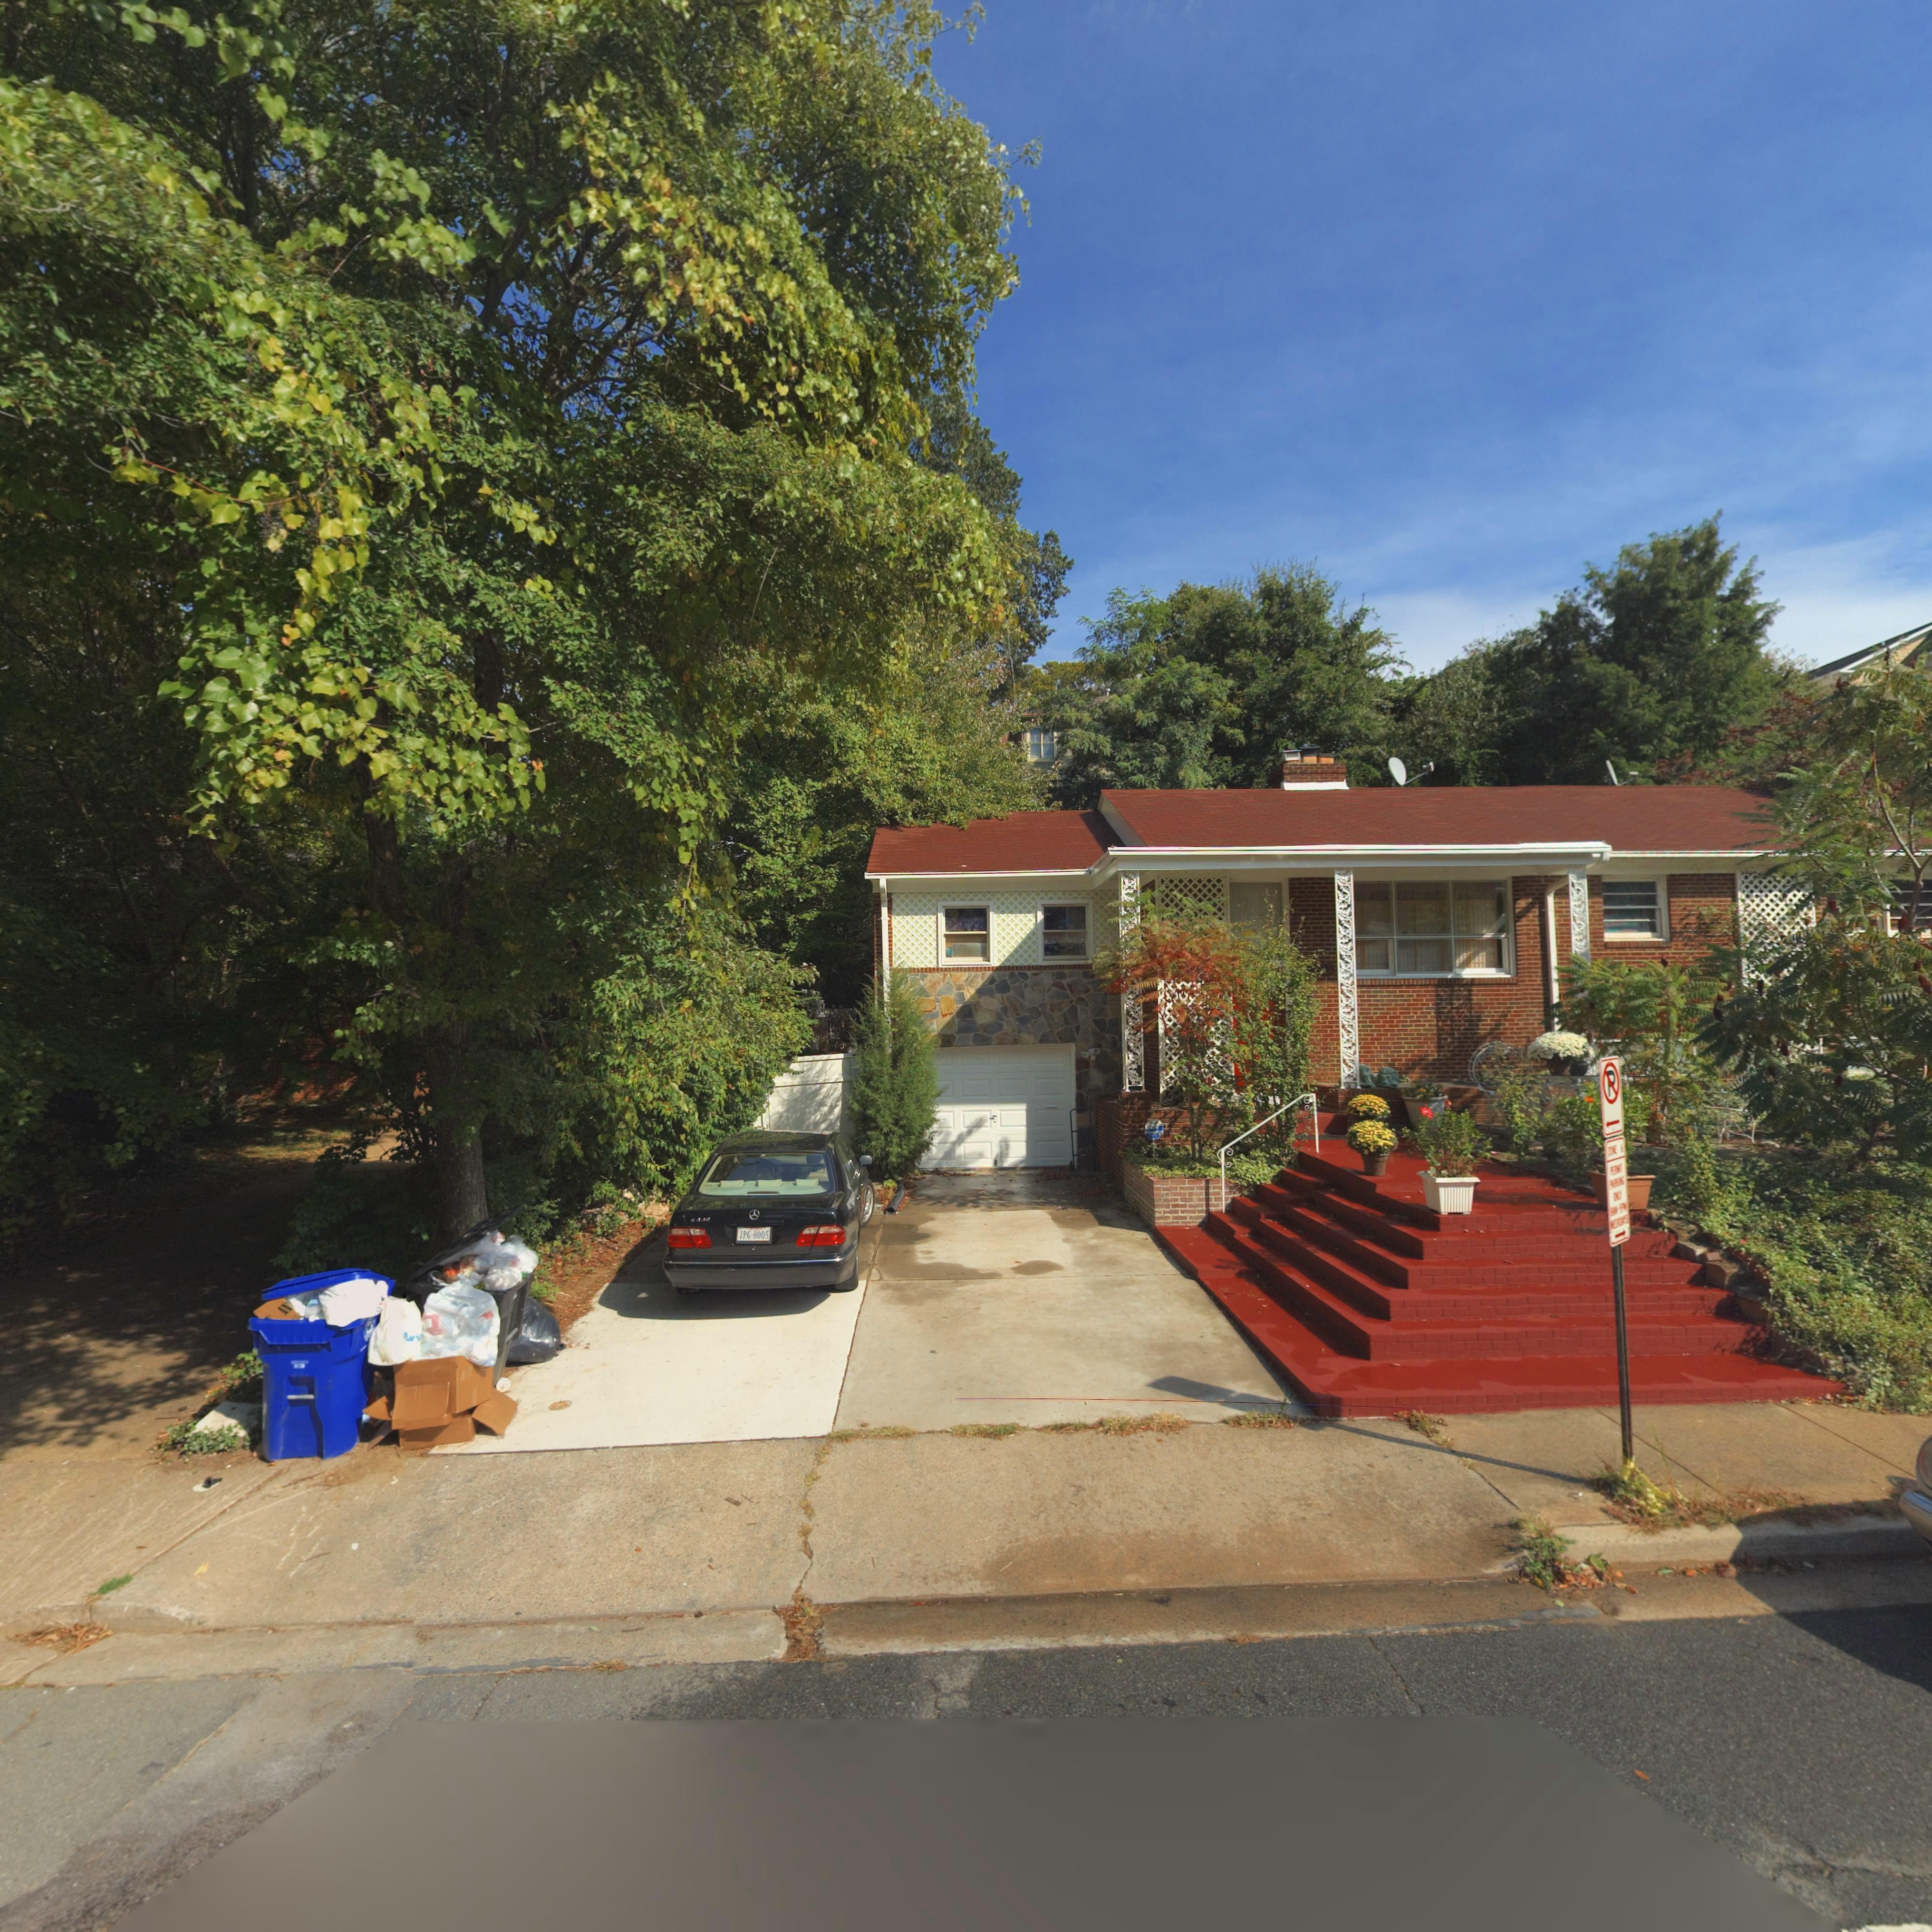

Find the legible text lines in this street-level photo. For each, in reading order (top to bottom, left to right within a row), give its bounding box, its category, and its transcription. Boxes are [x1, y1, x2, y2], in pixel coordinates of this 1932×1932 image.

[739, 1230, 770, 1240] None: JPG*8005